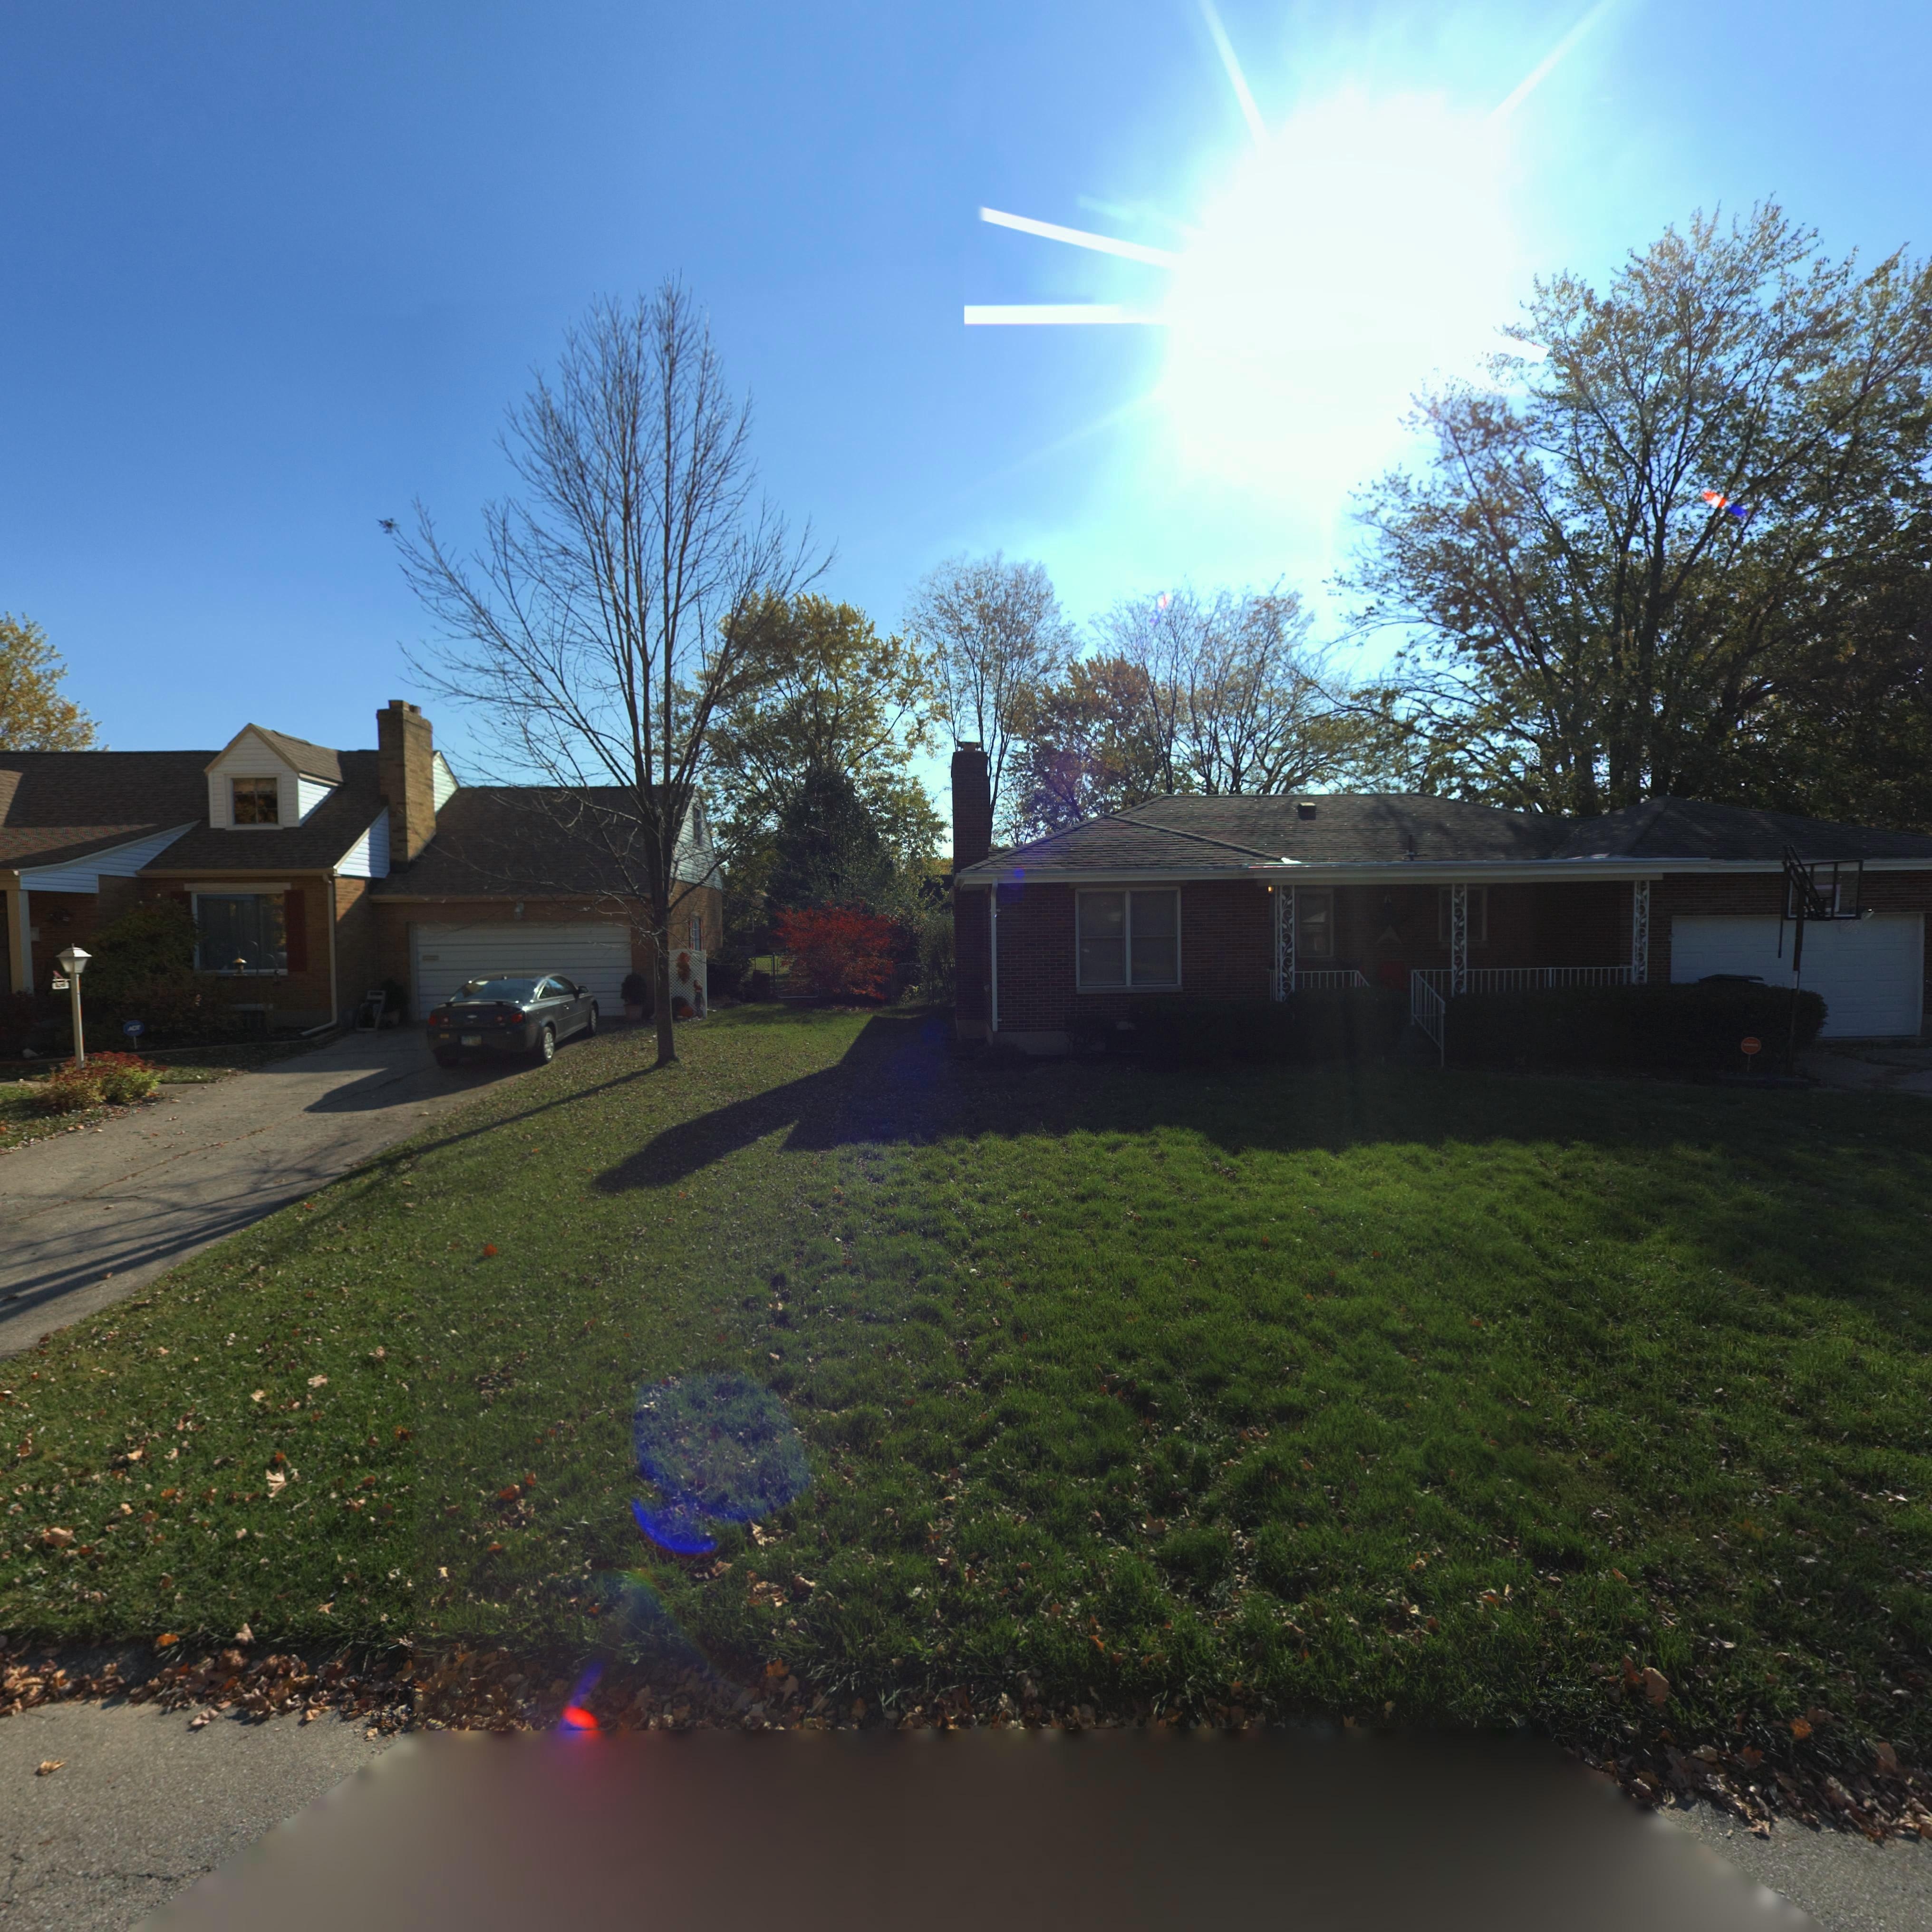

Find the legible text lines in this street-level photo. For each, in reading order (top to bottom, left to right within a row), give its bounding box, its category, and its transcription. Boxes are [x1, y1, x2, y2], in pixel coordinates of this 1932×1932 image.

[127, 1024, 141, 1032] None: ADT